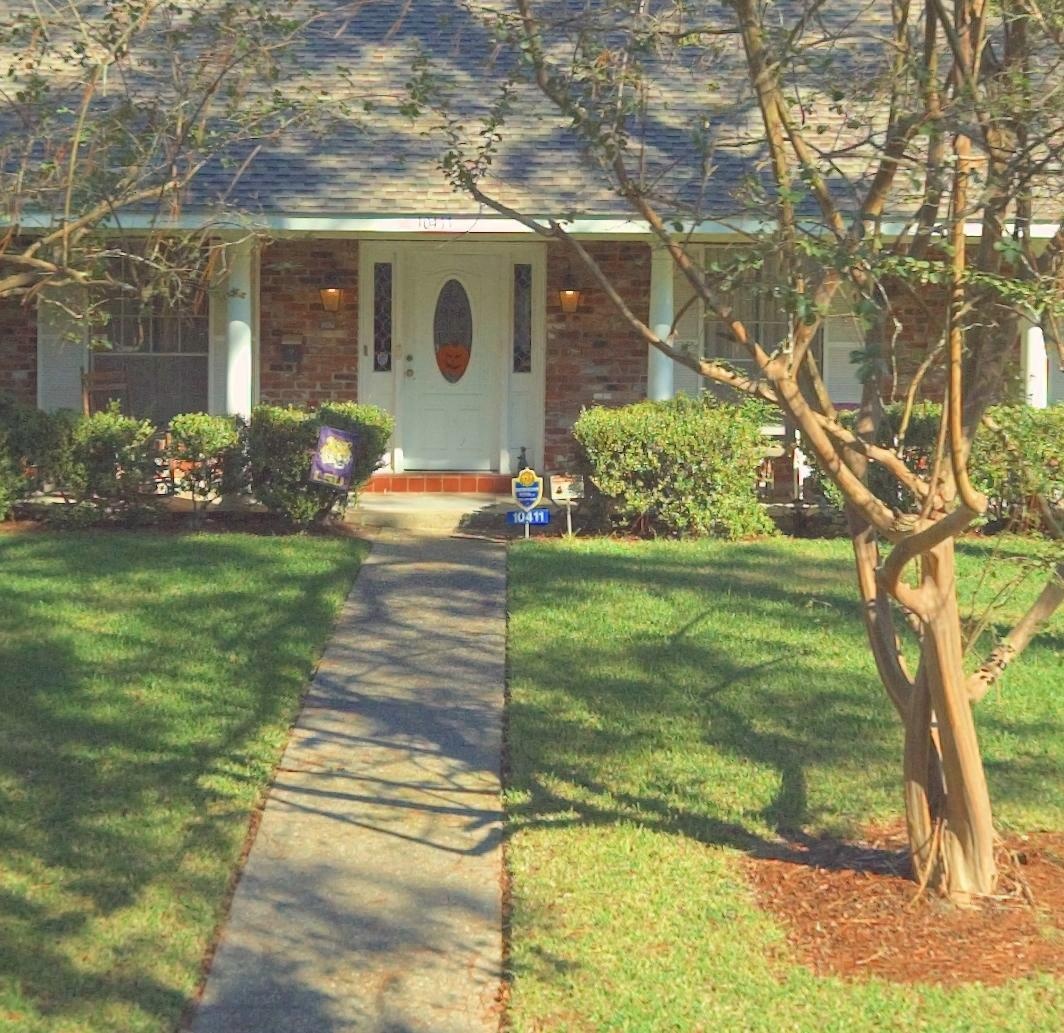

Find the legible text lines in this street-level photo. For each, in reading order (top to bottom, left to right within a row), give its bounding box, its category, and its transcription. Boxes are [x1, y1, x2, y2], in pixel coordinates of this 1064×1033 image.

[415, 213, 454, 231] StreetNumber: 10411
[310, 468, 347, 489] None: LSU
[511, 509, 546, 525] StreetNumber: 10411